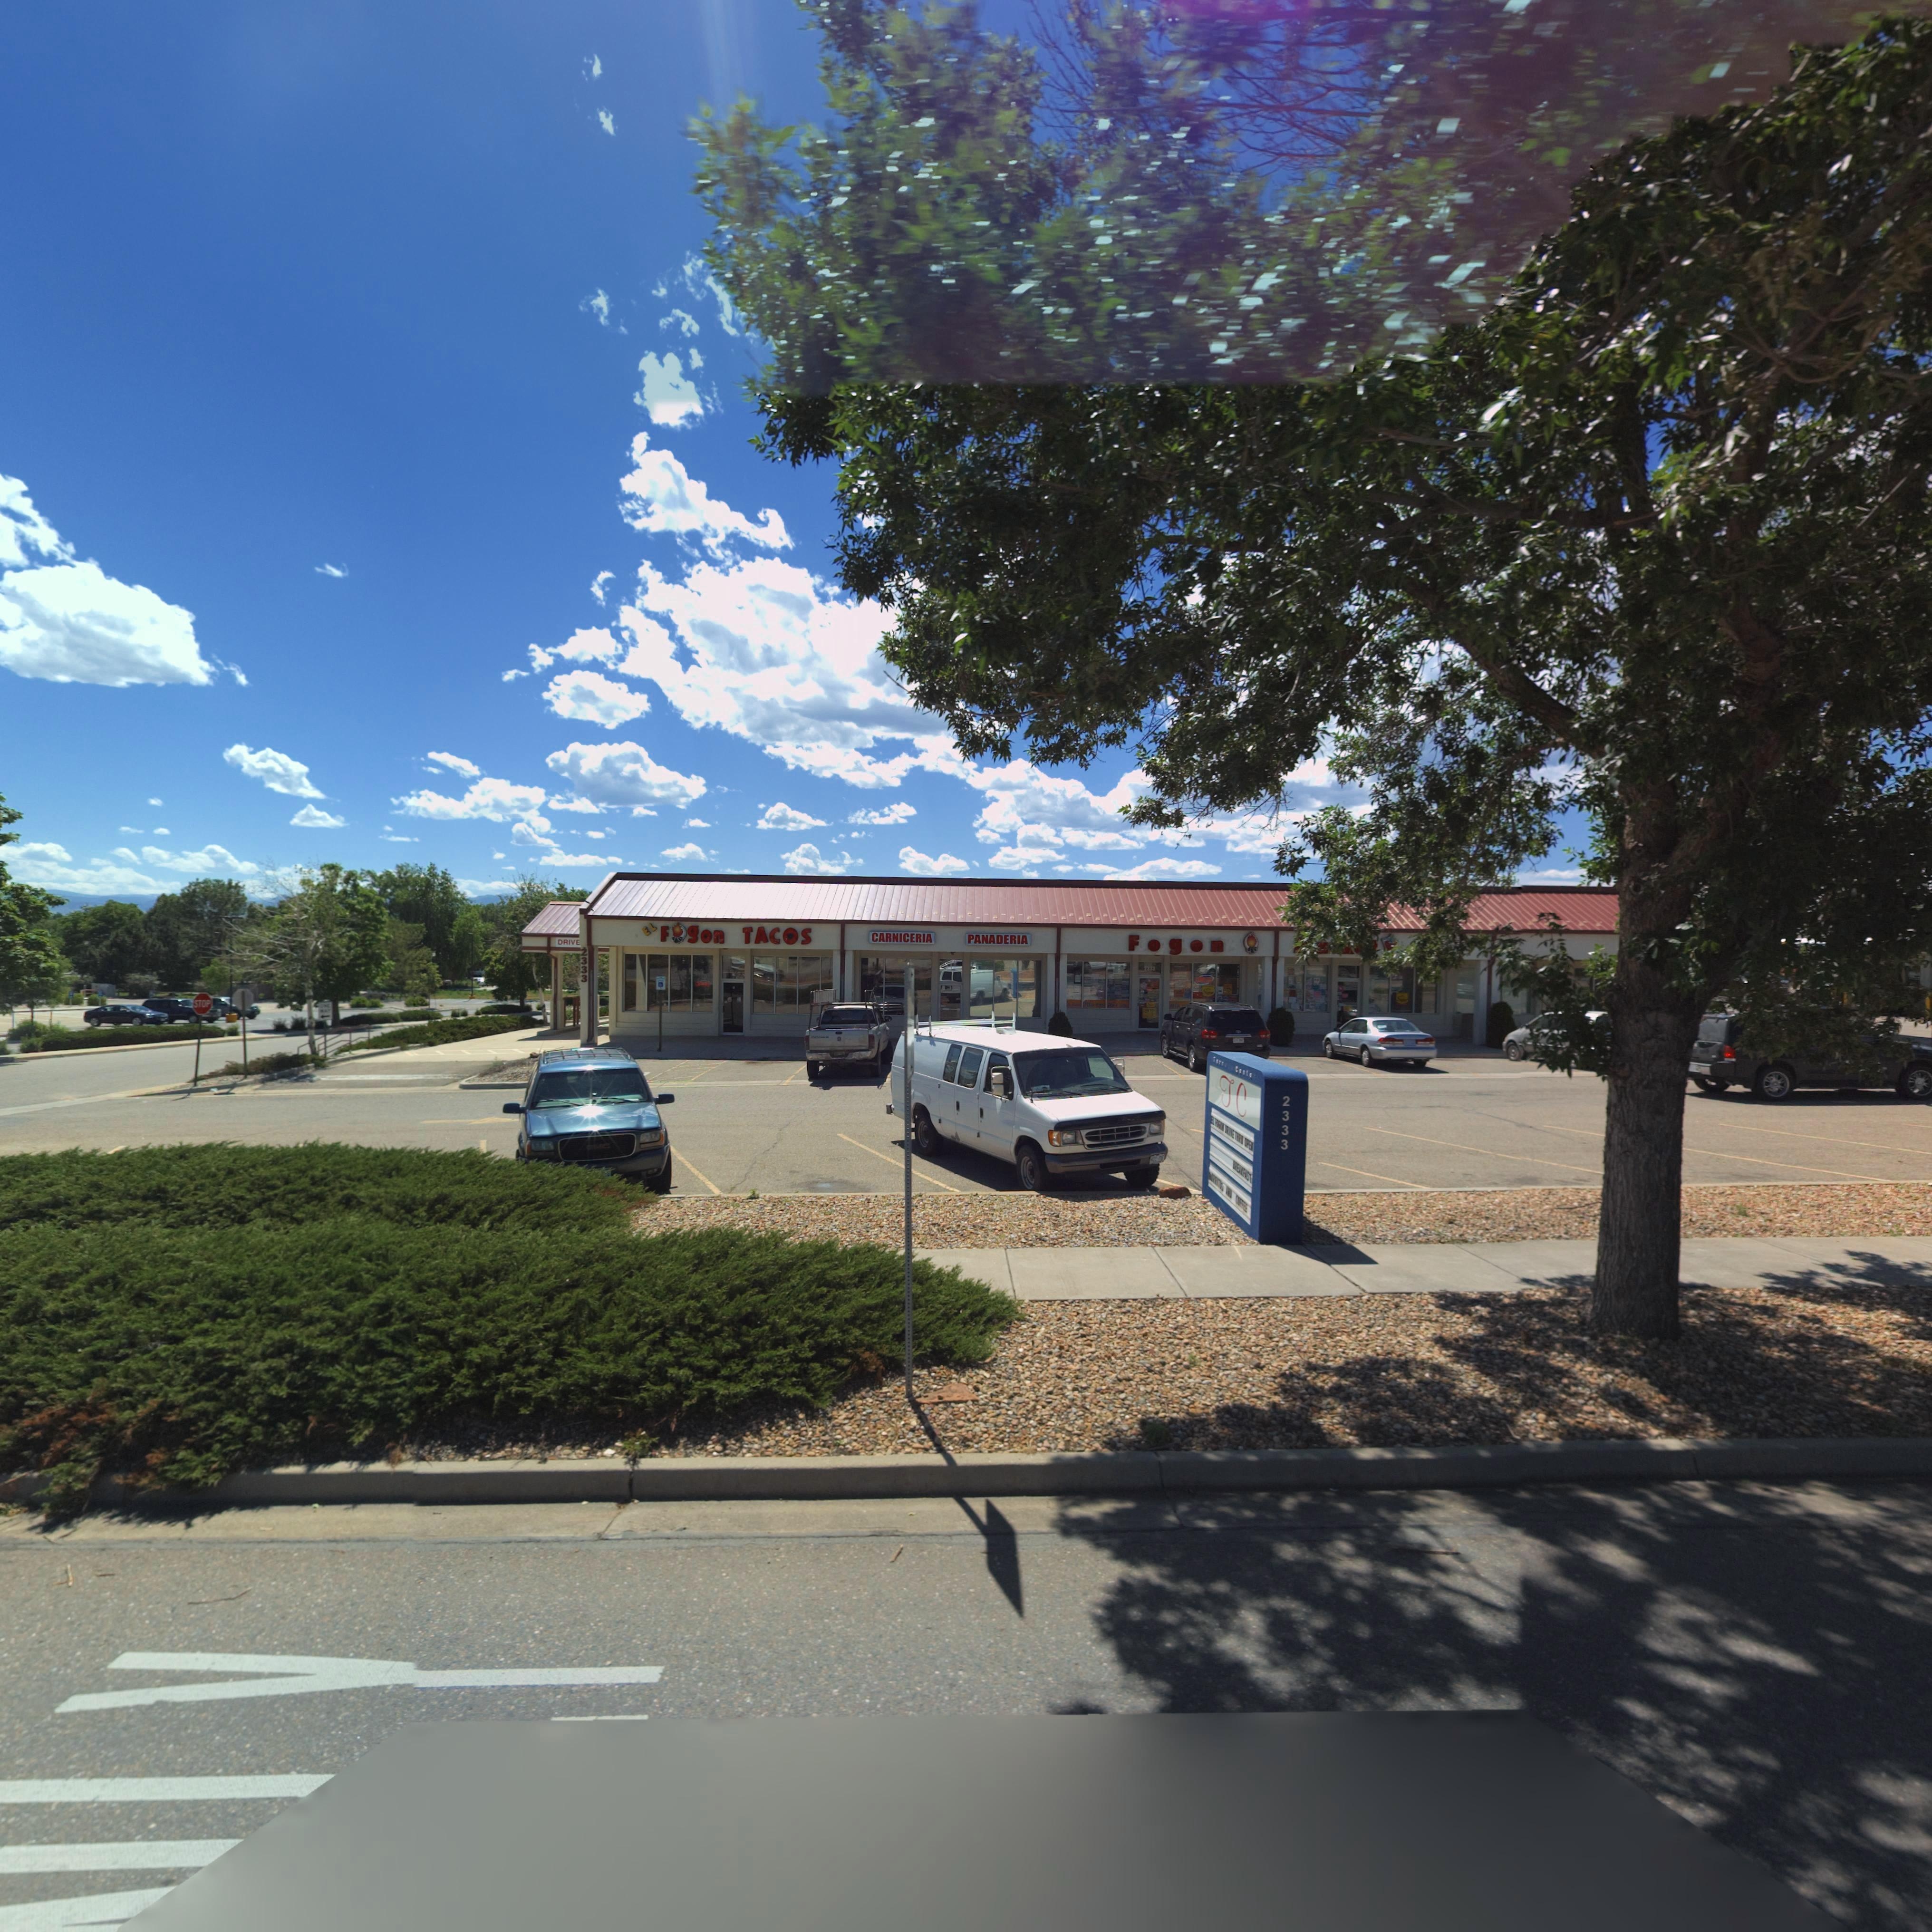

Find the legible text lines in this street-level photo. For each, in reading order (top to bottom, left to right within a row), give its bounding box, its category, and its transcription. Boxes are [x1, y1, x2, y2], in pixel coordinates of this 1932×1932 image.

[641, 922, 658, 937] BusinessName: EL
[660, 924, 813, 945] None: F*gon TACOS
[871, 932, 932, 943] BusinessName: CARNICERIA
[967, 934, 1029, 945] BusinessName: PANADERIA
[1127, 934, 1224, 956] BusinessName: Fogon
[580, 947, 588, 983] StreetNumber: 2333
[1144, 966, 1155, 971] StreetNumber: 2333
[1280, 1095, 1290, 1150] StreetNumber: 2333